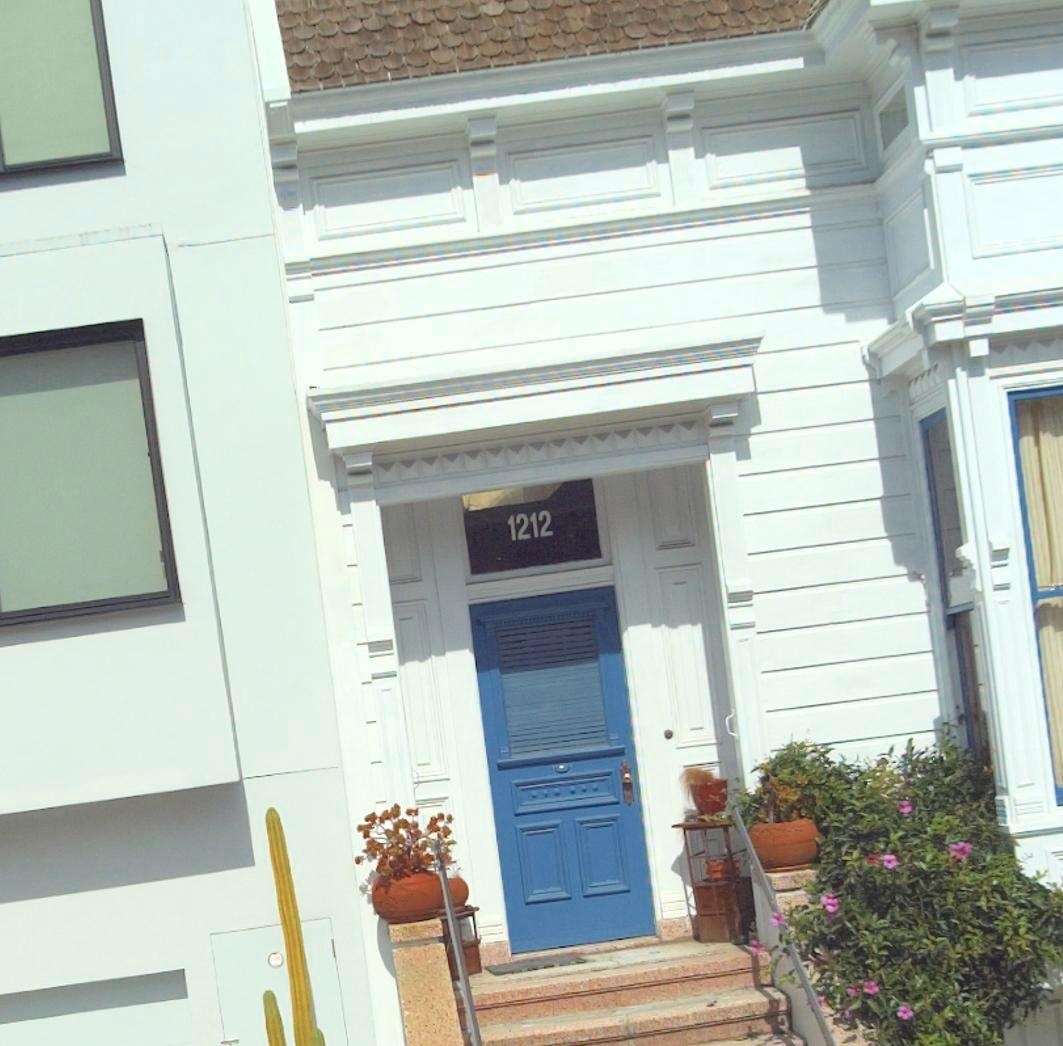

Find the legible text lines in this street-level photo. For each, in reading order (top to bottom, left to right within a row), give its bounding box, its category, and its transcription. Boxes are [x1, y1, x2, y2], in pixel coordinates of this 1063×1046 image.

[505, 507, 555, 542] StreetNumber: 1212